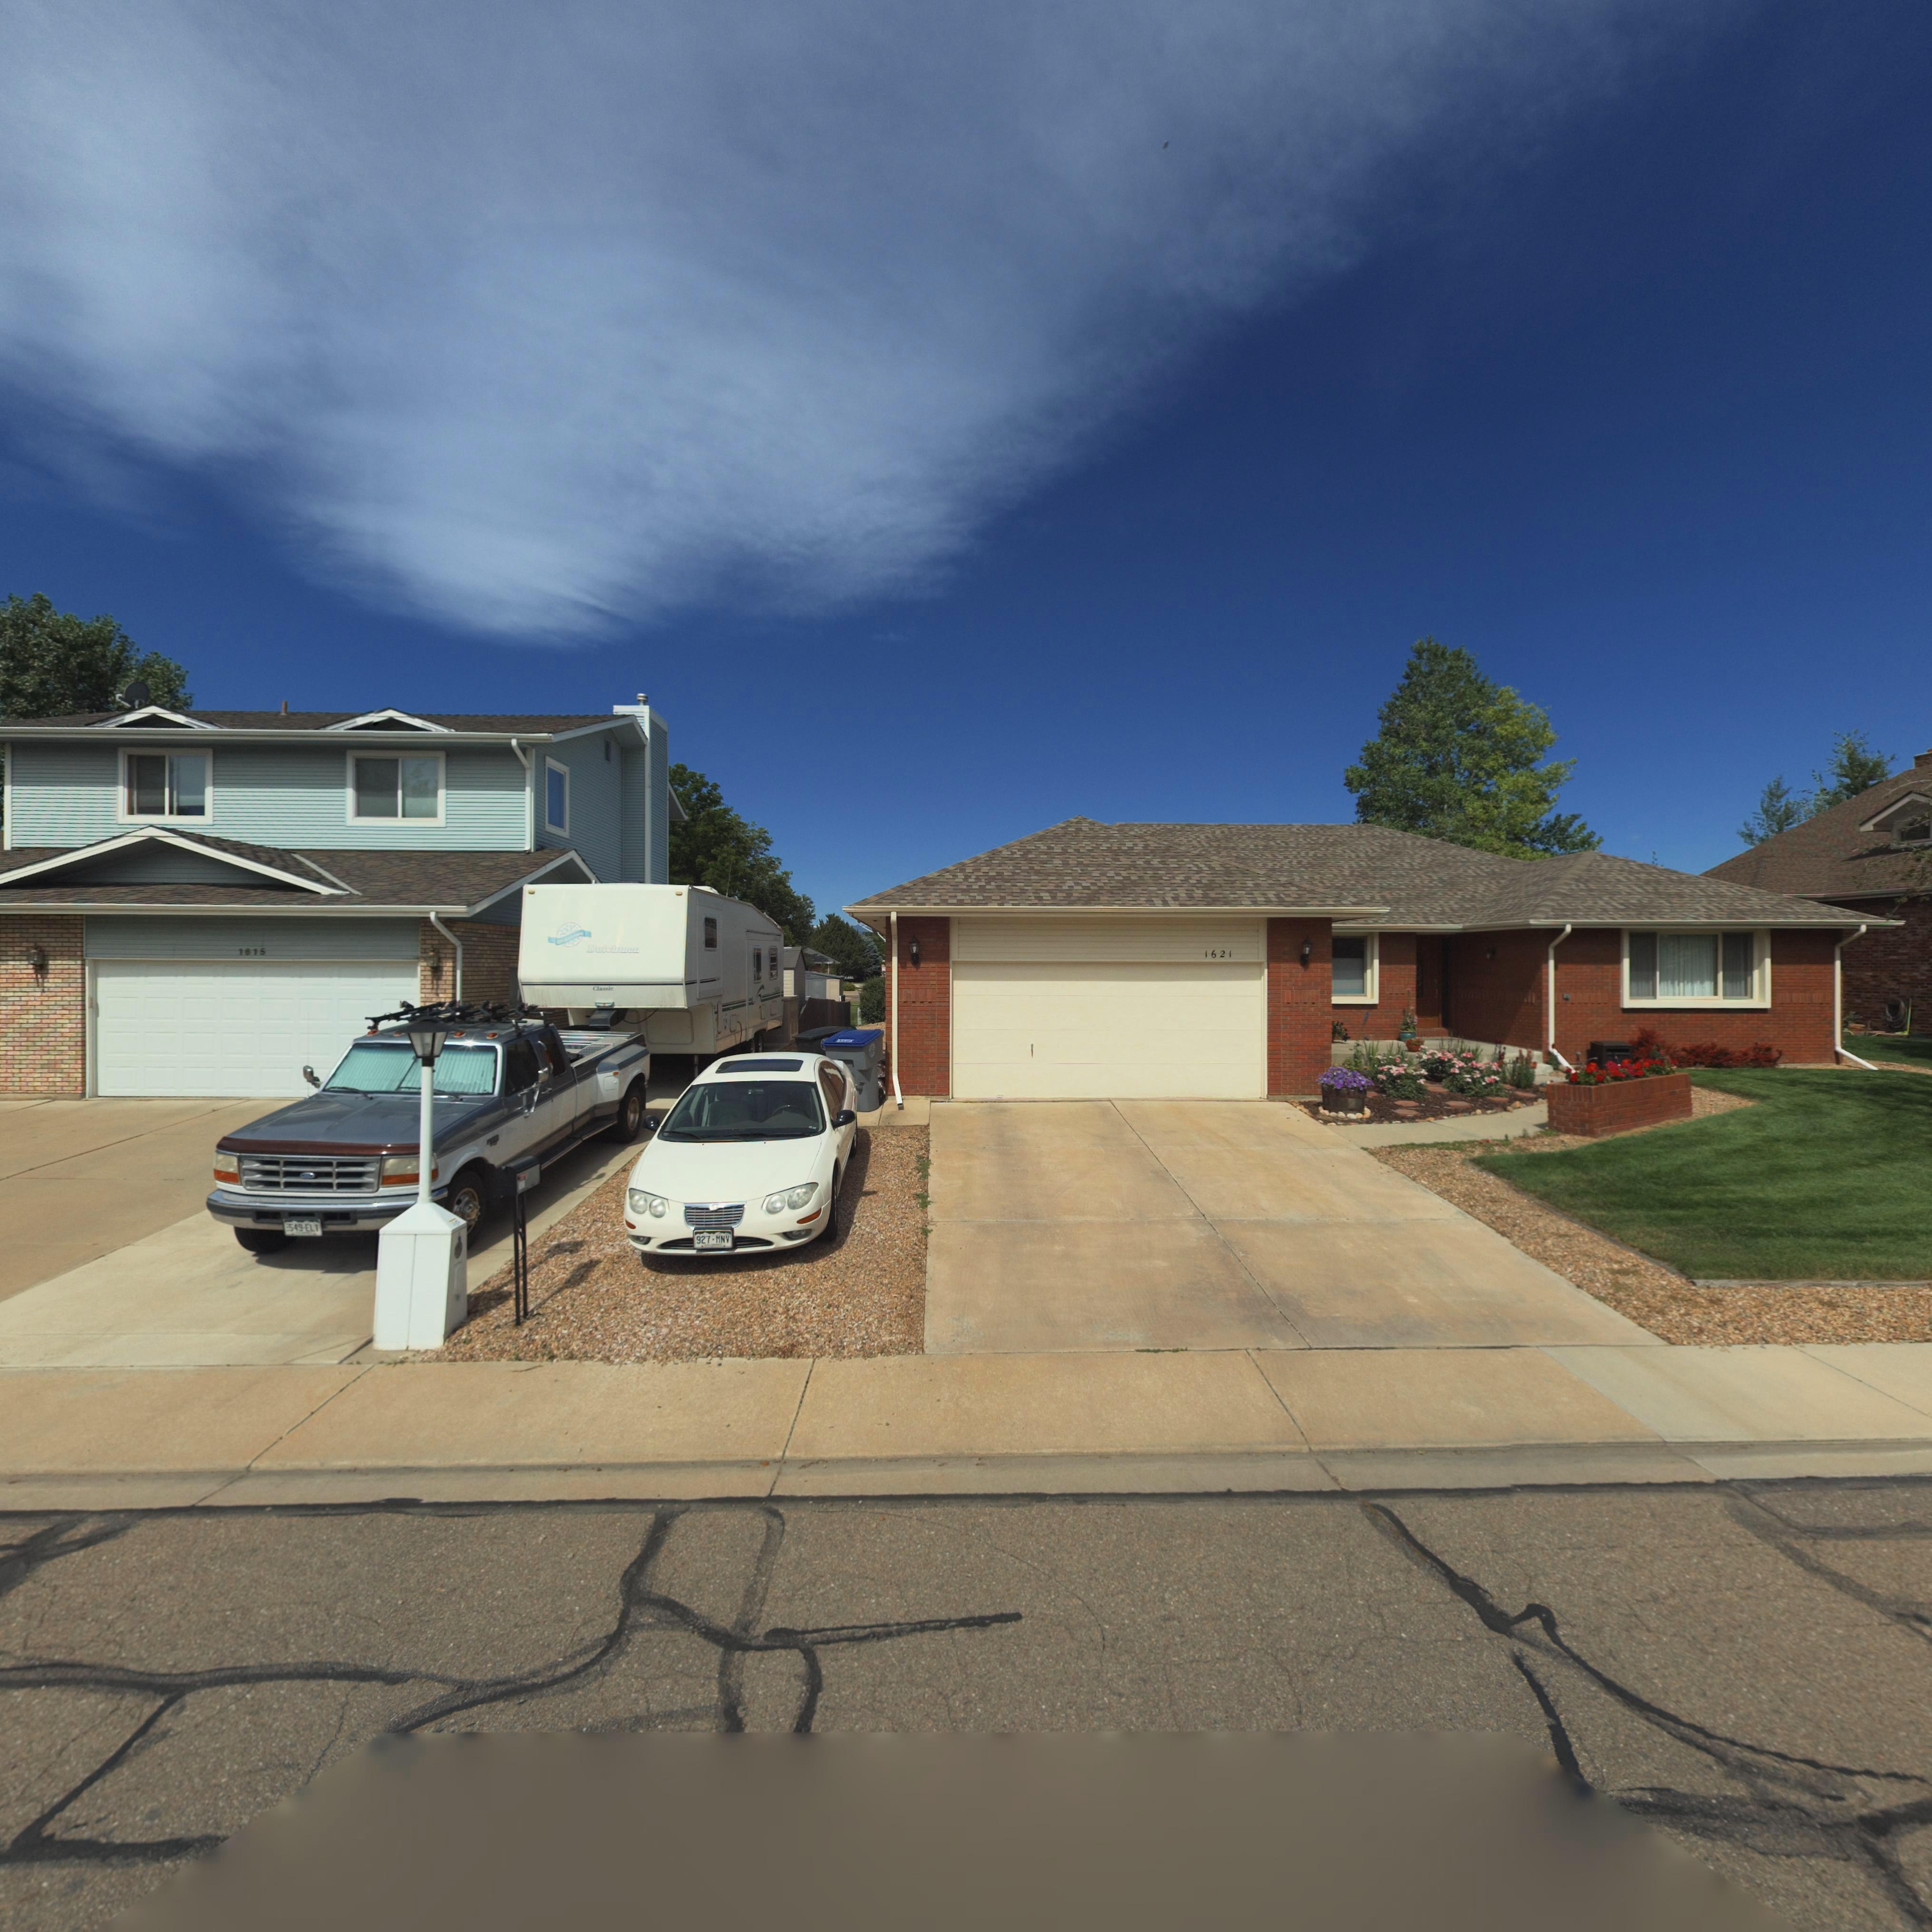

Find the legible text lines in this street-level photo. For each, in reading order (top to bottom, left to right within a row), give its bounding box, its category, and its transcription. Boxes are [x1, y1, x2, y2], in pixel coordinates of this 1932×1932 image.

[238, 947, 266, 956] StreetNumber: 1615
[1204, 949, 1232, 958] StreetNumber: 1621